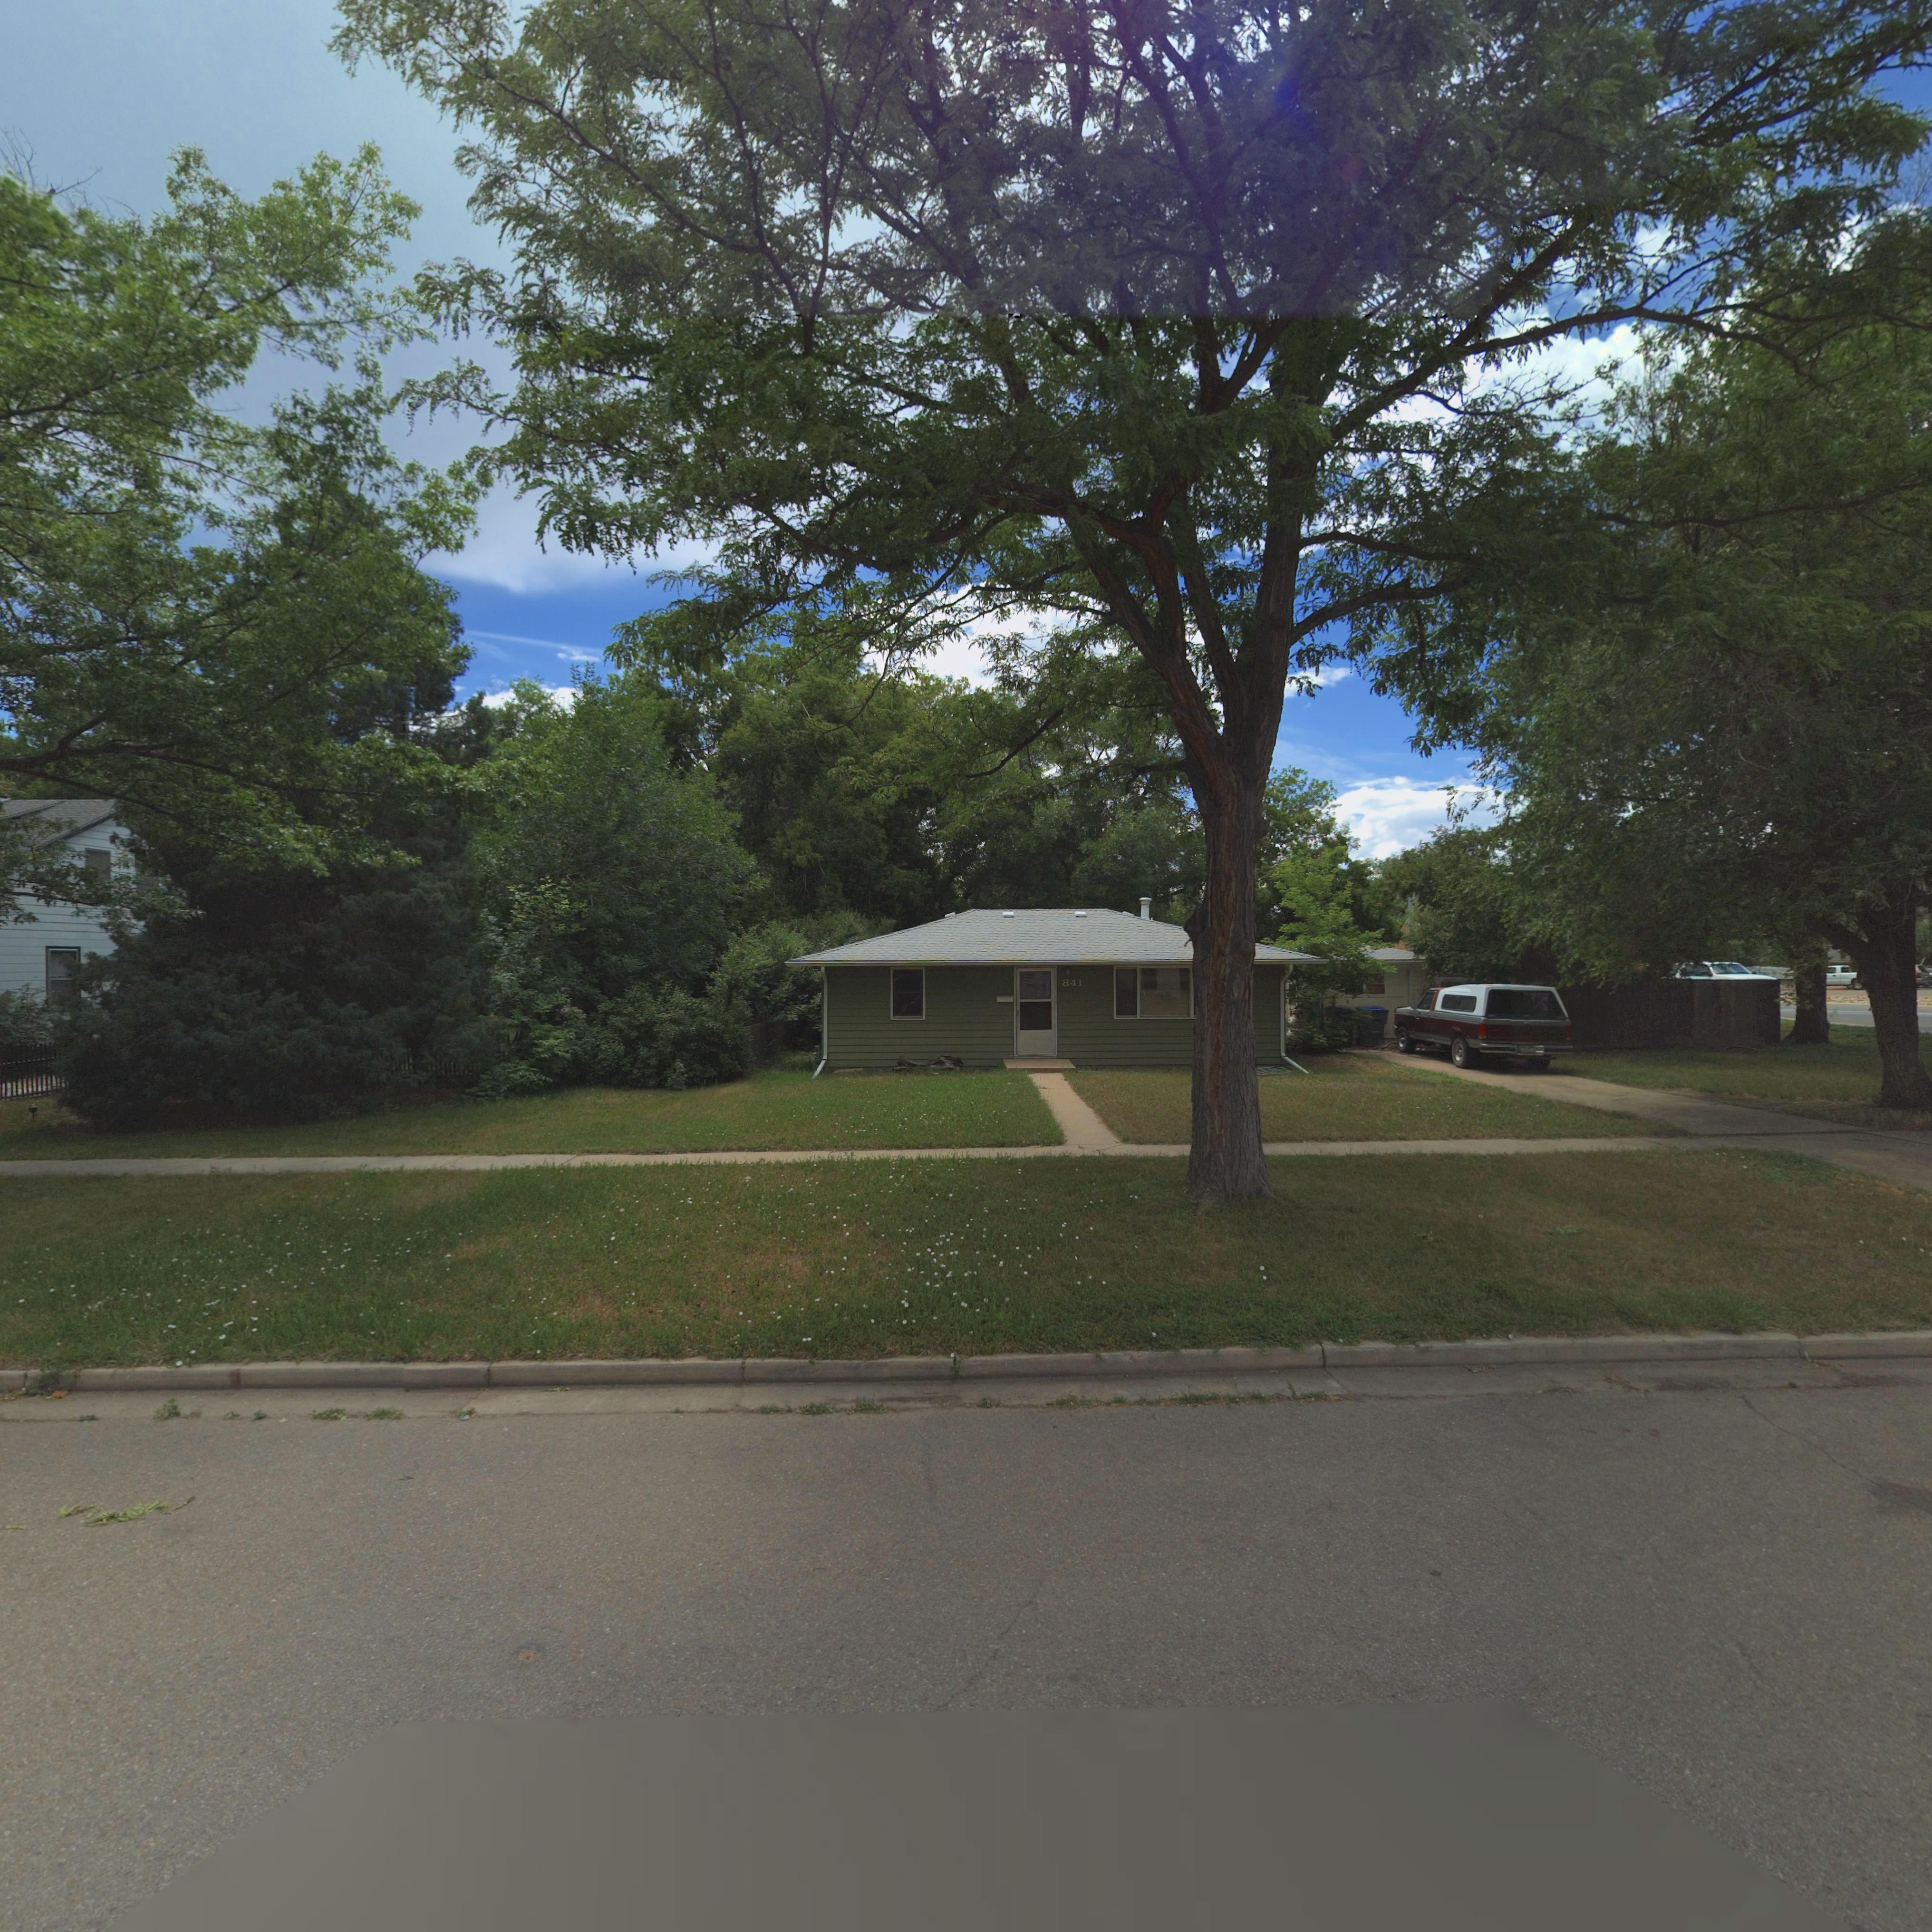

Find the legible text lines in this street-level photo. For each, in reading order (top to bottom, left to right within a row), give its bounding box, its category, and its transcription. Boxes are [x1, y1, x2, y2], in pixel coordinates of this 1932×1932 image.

[1062, 978, 1082, 987] StreetNumber: 841